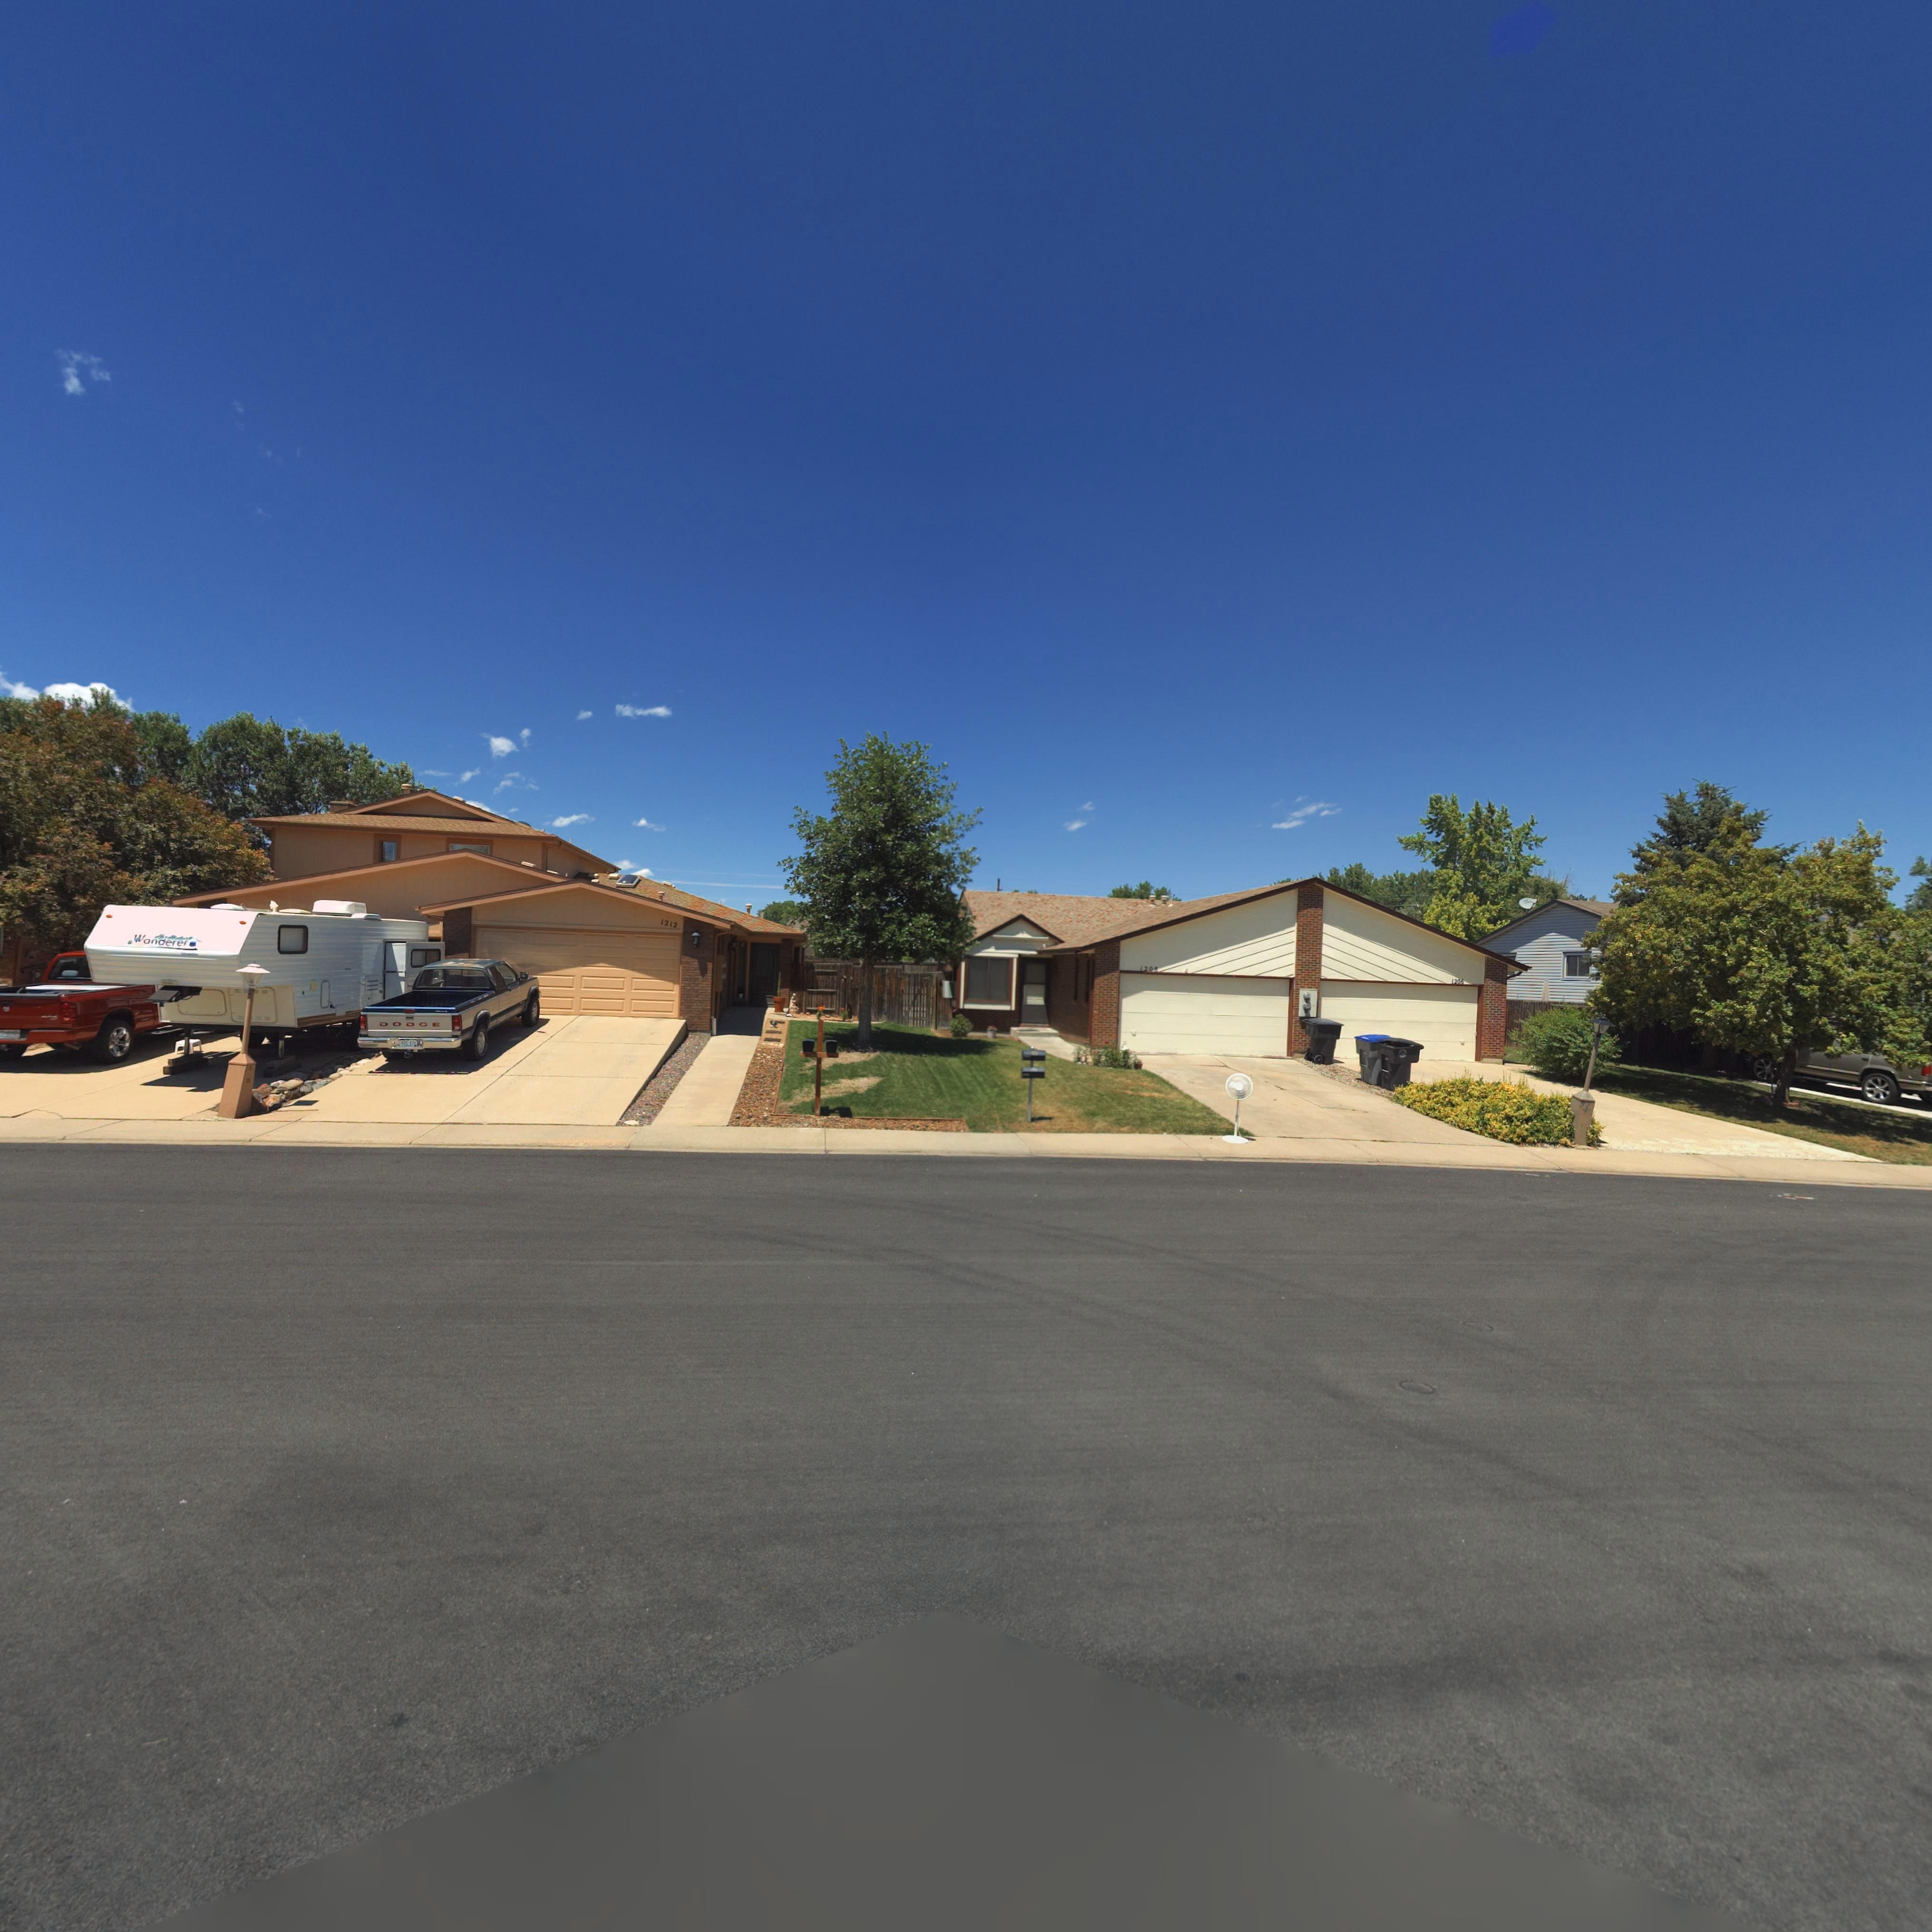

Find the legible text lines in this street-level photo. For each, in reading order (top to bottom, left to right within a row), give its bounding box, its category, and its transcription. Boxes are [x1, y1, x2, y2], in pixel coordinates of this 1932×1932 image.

[660, 919, 677, 928] StreetNumber: 1212
[1140, 966, 1158, 972] StreetNumber: 1208
[1451, 978, 1464, 984] StreetNumber: 1206